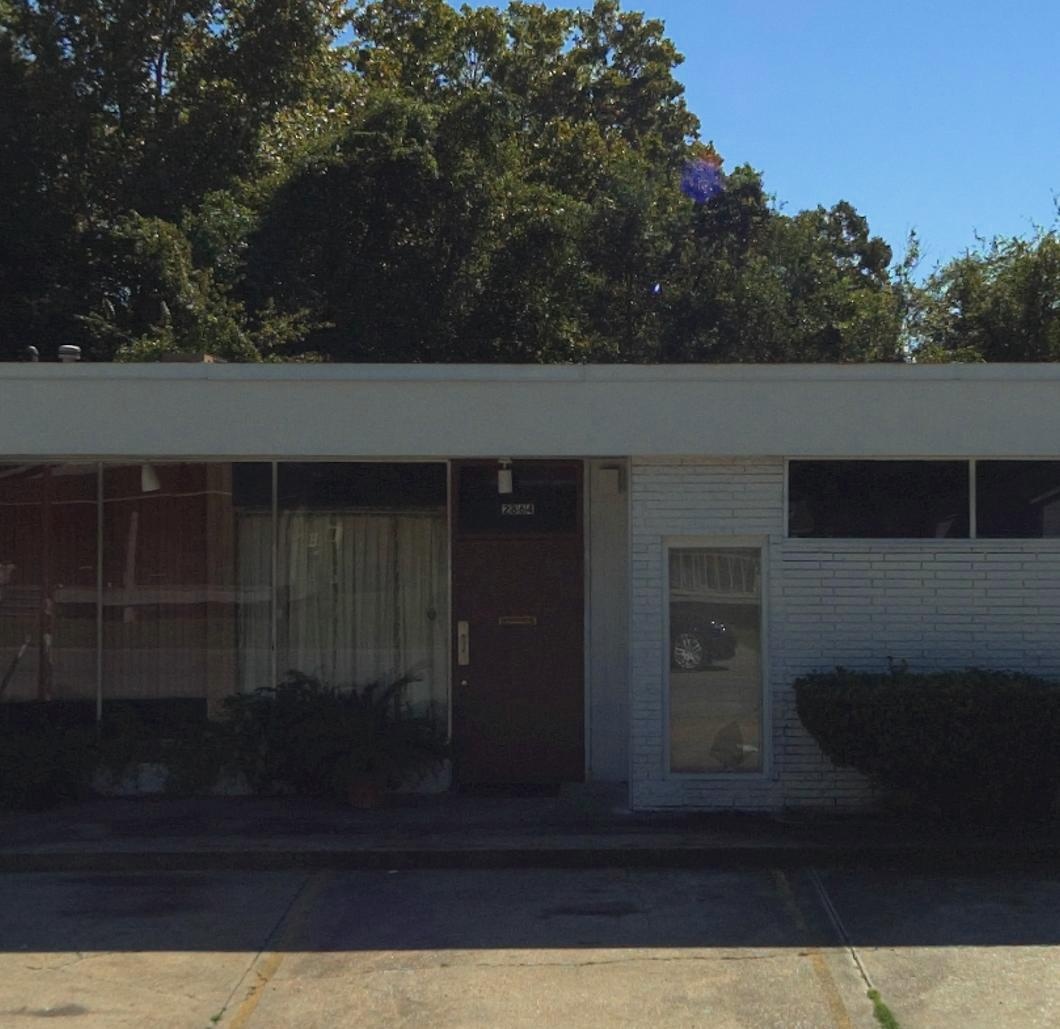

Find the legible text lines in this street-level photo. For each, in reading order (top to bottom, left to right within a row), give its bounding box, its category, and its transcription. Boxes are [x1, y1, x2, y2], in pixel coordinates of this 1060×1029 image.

[503, 504, 534, 515] StreetNumber: 2864